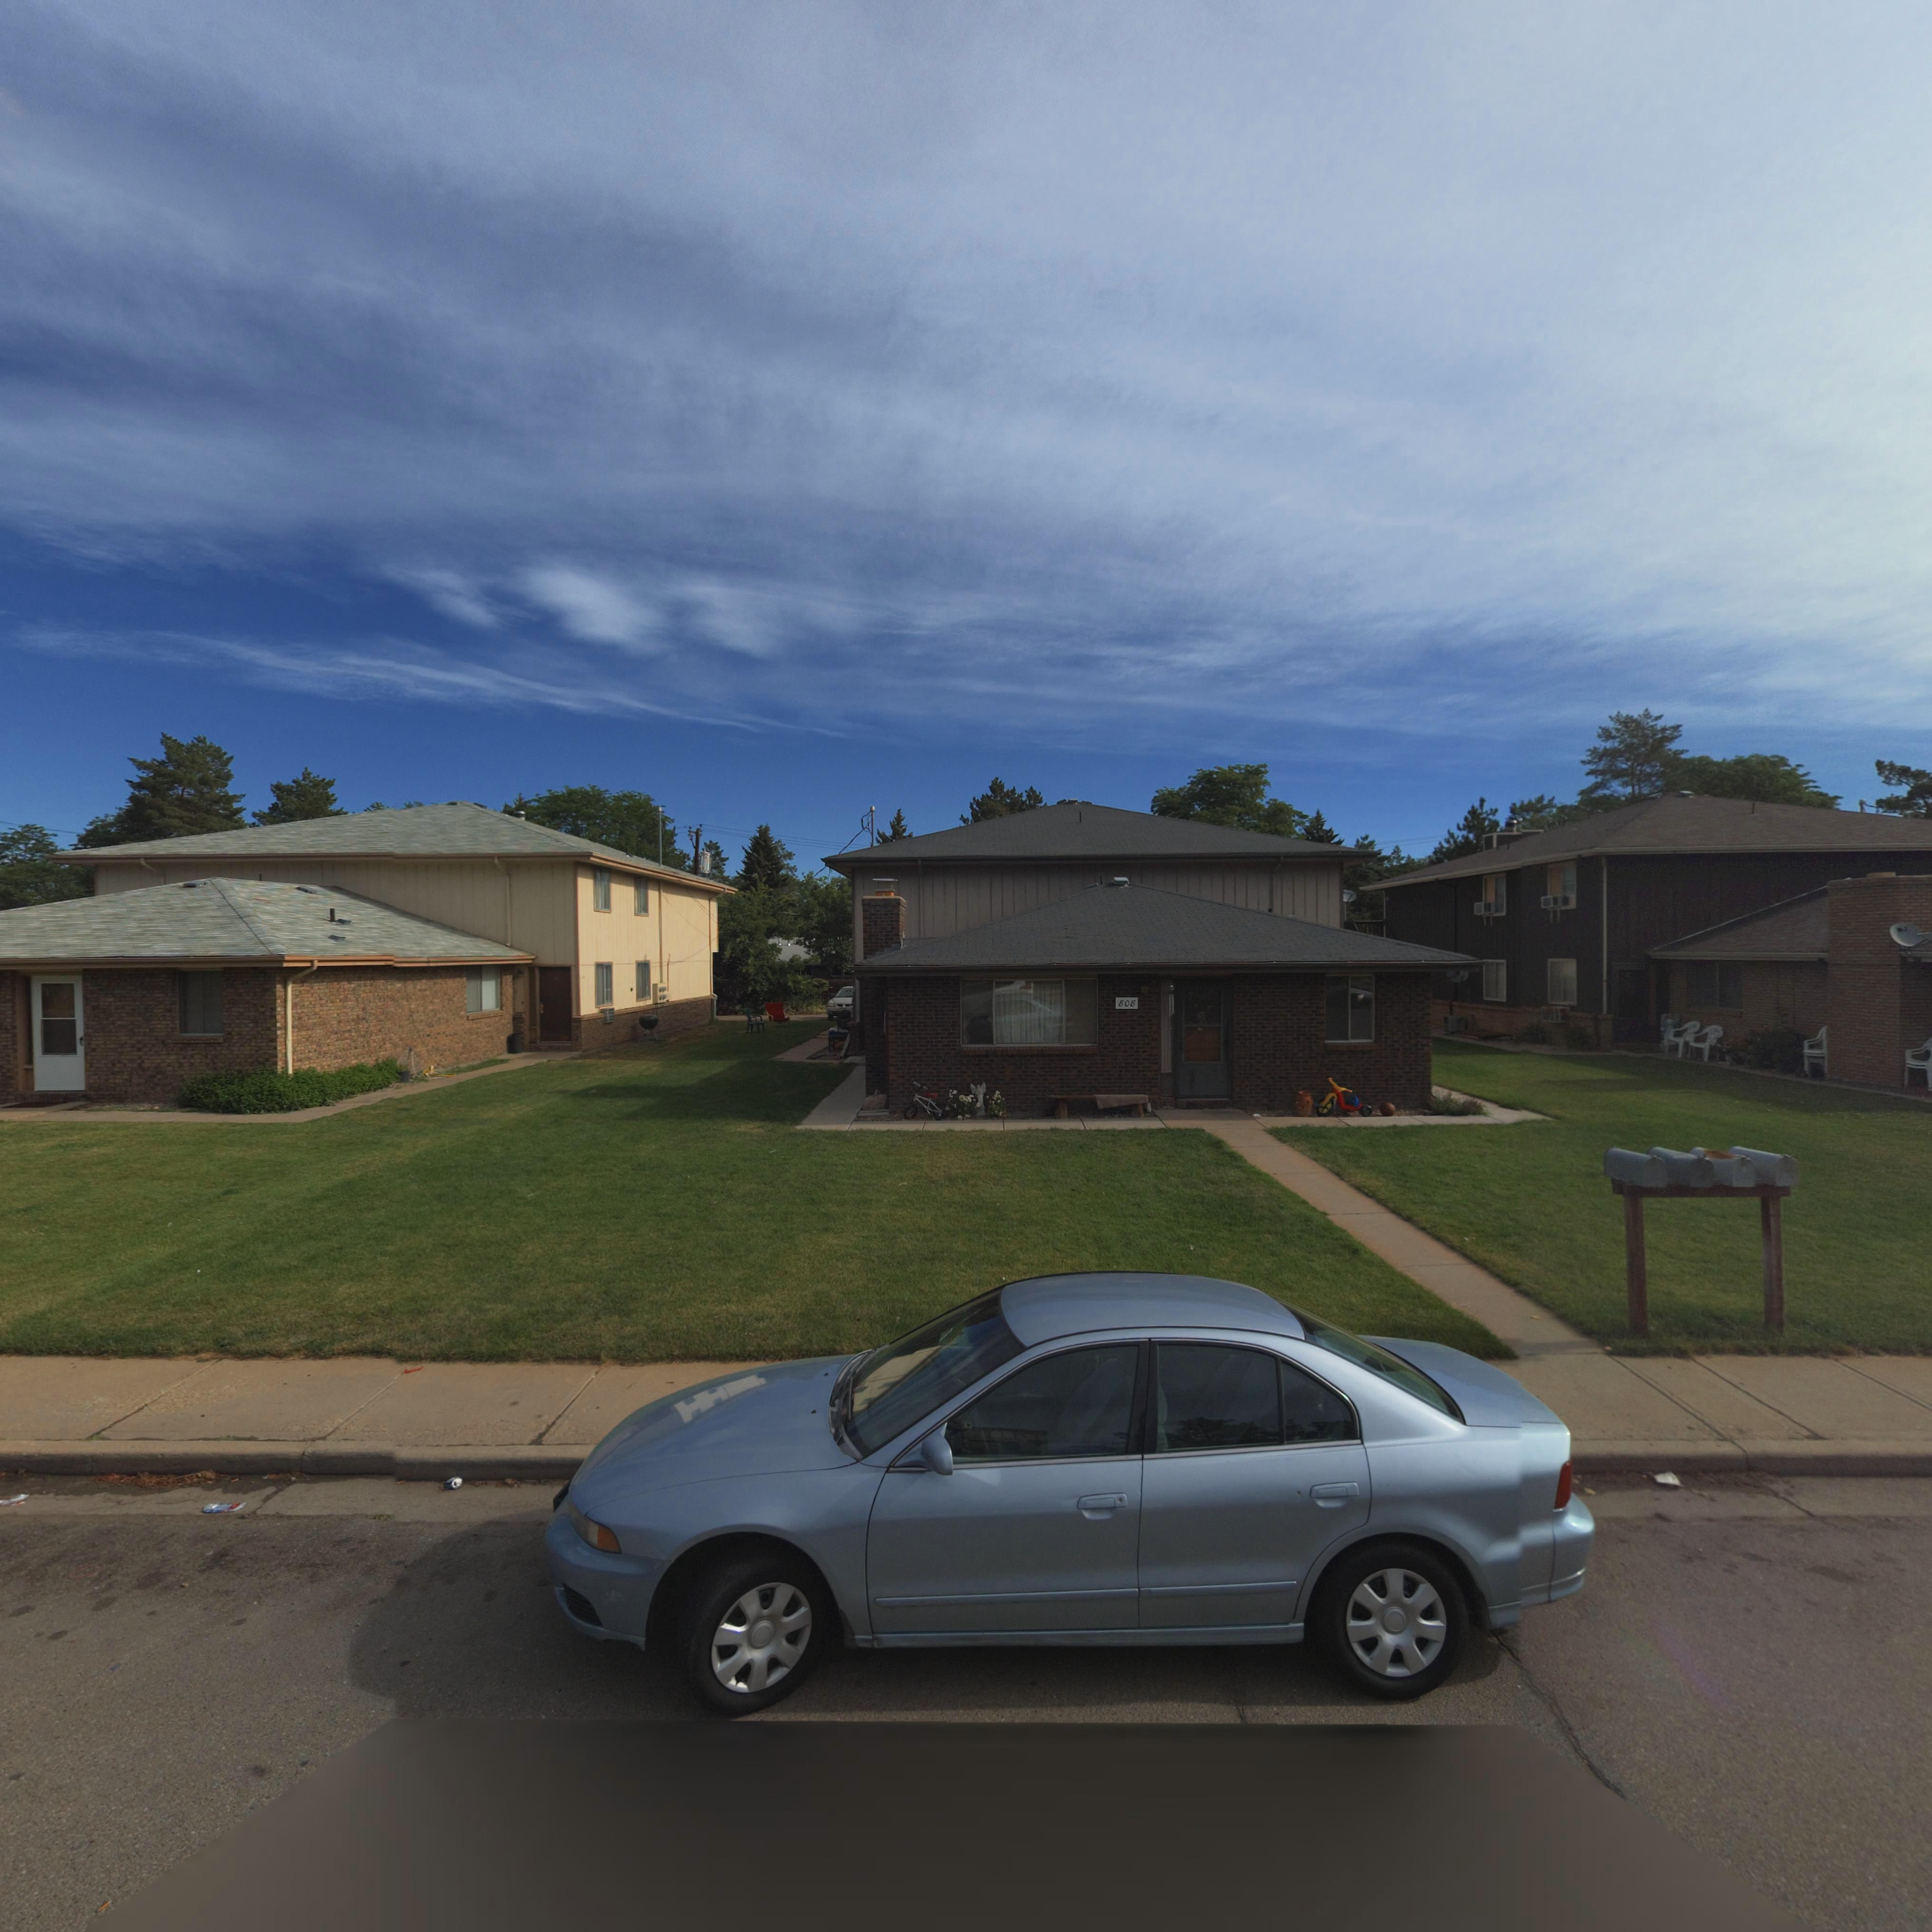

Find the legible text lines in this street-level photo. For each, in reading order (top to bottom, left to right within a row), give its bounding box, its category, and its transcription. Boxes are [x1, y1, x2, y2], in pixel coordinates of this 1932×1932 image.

[1119, 999, 1136, 1007] StreetNumber: 808